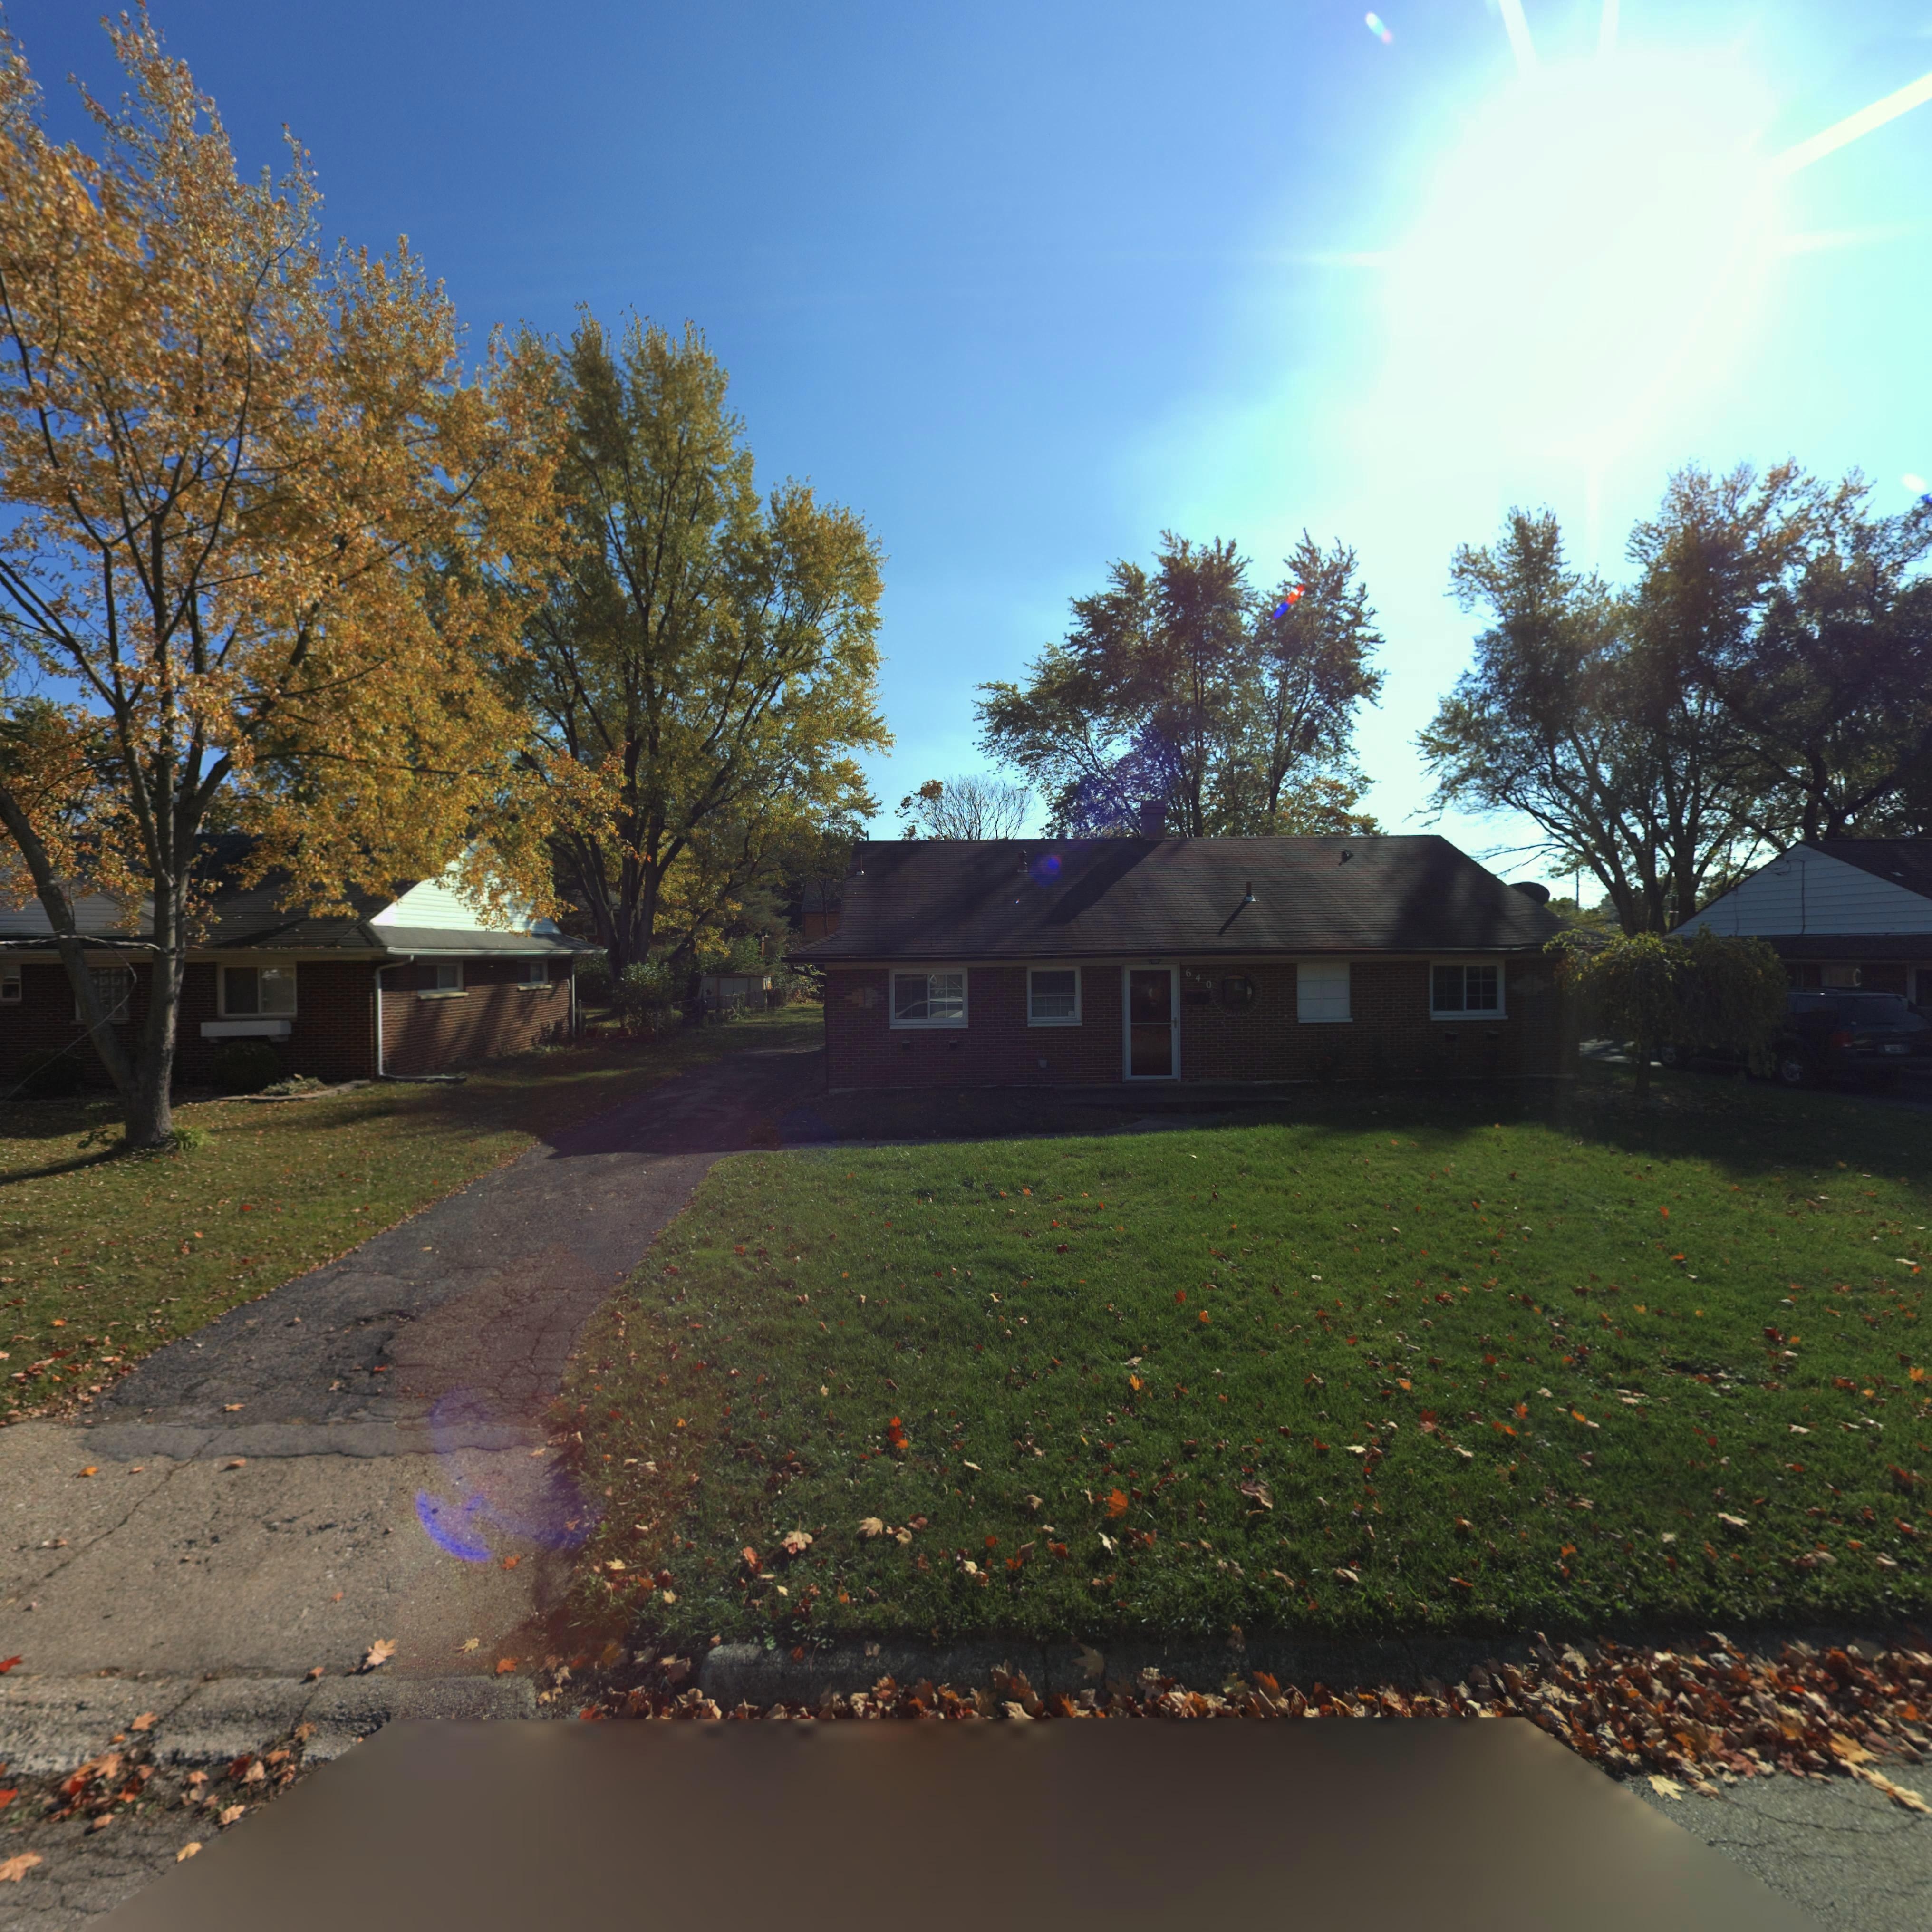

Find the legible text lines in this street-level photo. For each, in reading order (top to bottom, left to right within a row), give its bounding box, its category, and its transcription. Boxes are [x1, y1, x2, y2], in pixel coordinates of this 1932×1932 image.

[1184, 966, 1213, 990] StreetNumber: 640